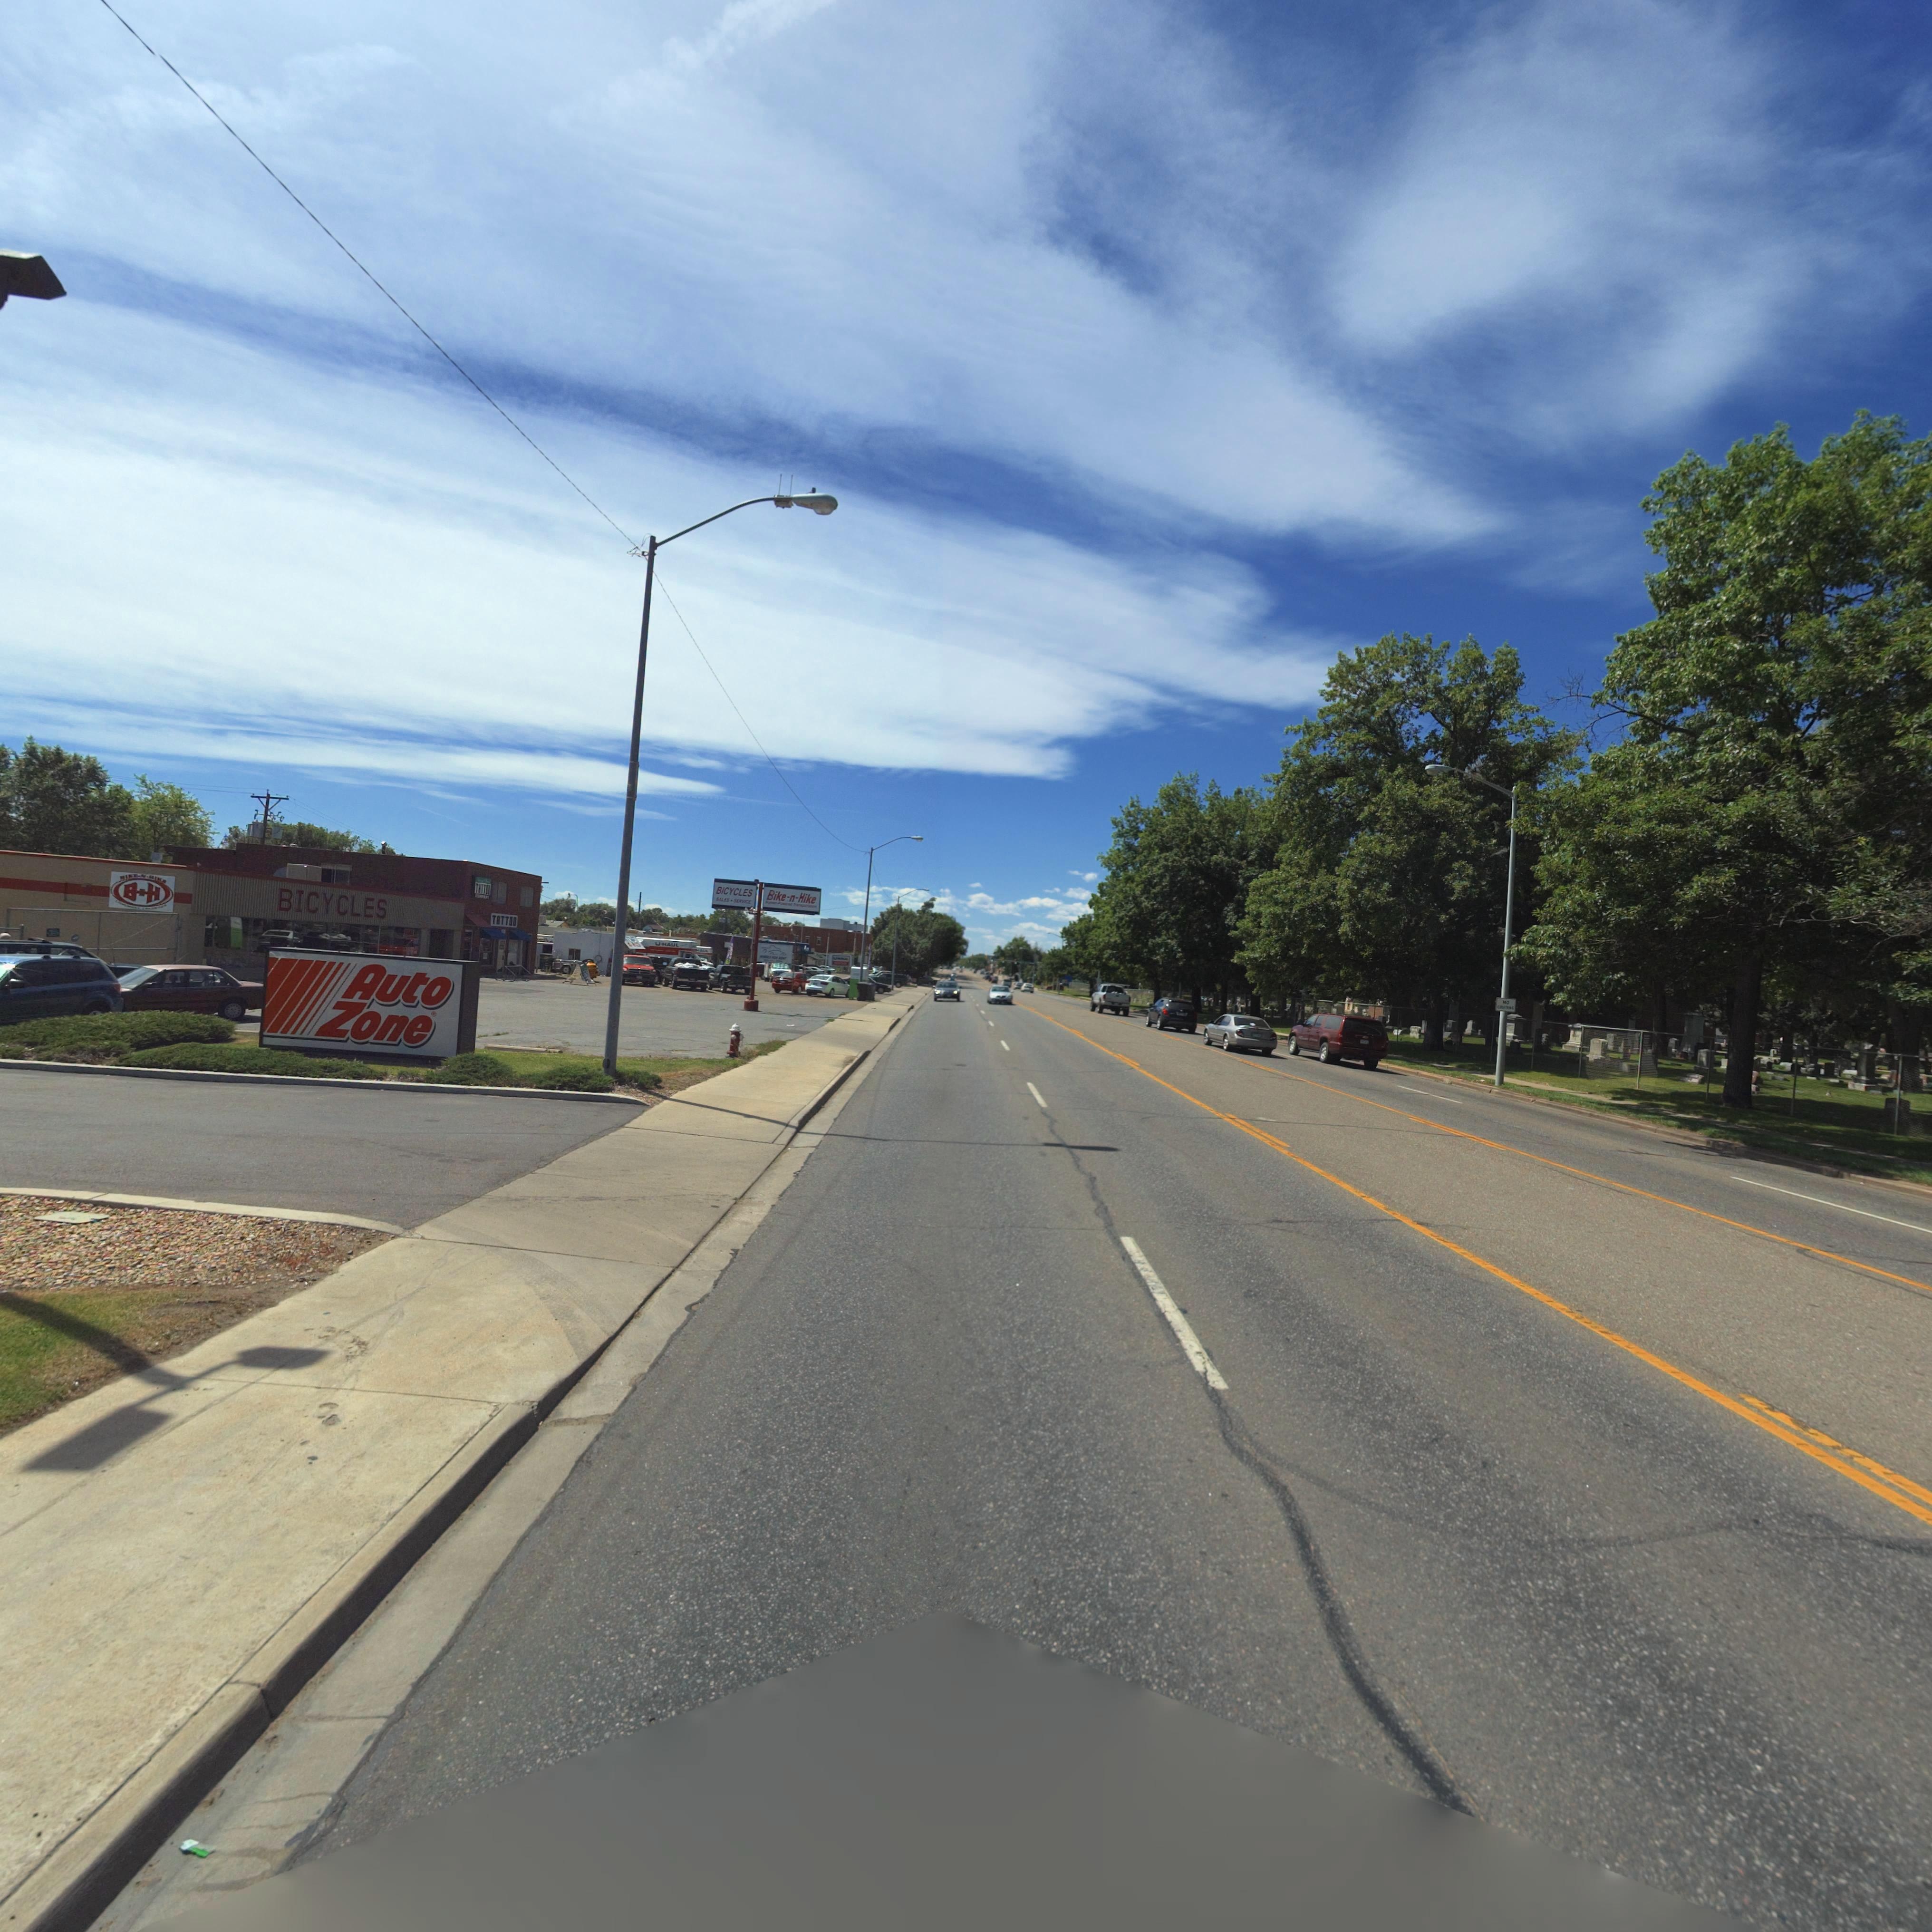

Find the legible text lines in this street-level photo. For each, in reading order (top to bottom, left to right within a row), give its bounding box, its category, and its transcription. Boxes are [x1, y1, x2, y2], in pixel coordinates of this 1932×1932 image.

[120, 873, 167, 884] BusinessName: *I*E****I**
[123, 882, 161, 904] BusinessName: B*H
[474, 894, 489, 899] BusinessName: C******
[475, 883, 490, 895] BusinessName: T*****
[766, 889, 816, 904] BusinessName: Bike-n-Hike
[492, 915, 516, 926] BusinessName: TATTOO
[340, 963, 453, 1008] BusinessName: Auto
[313, 999, 433, 1045] BusinessName: Zone